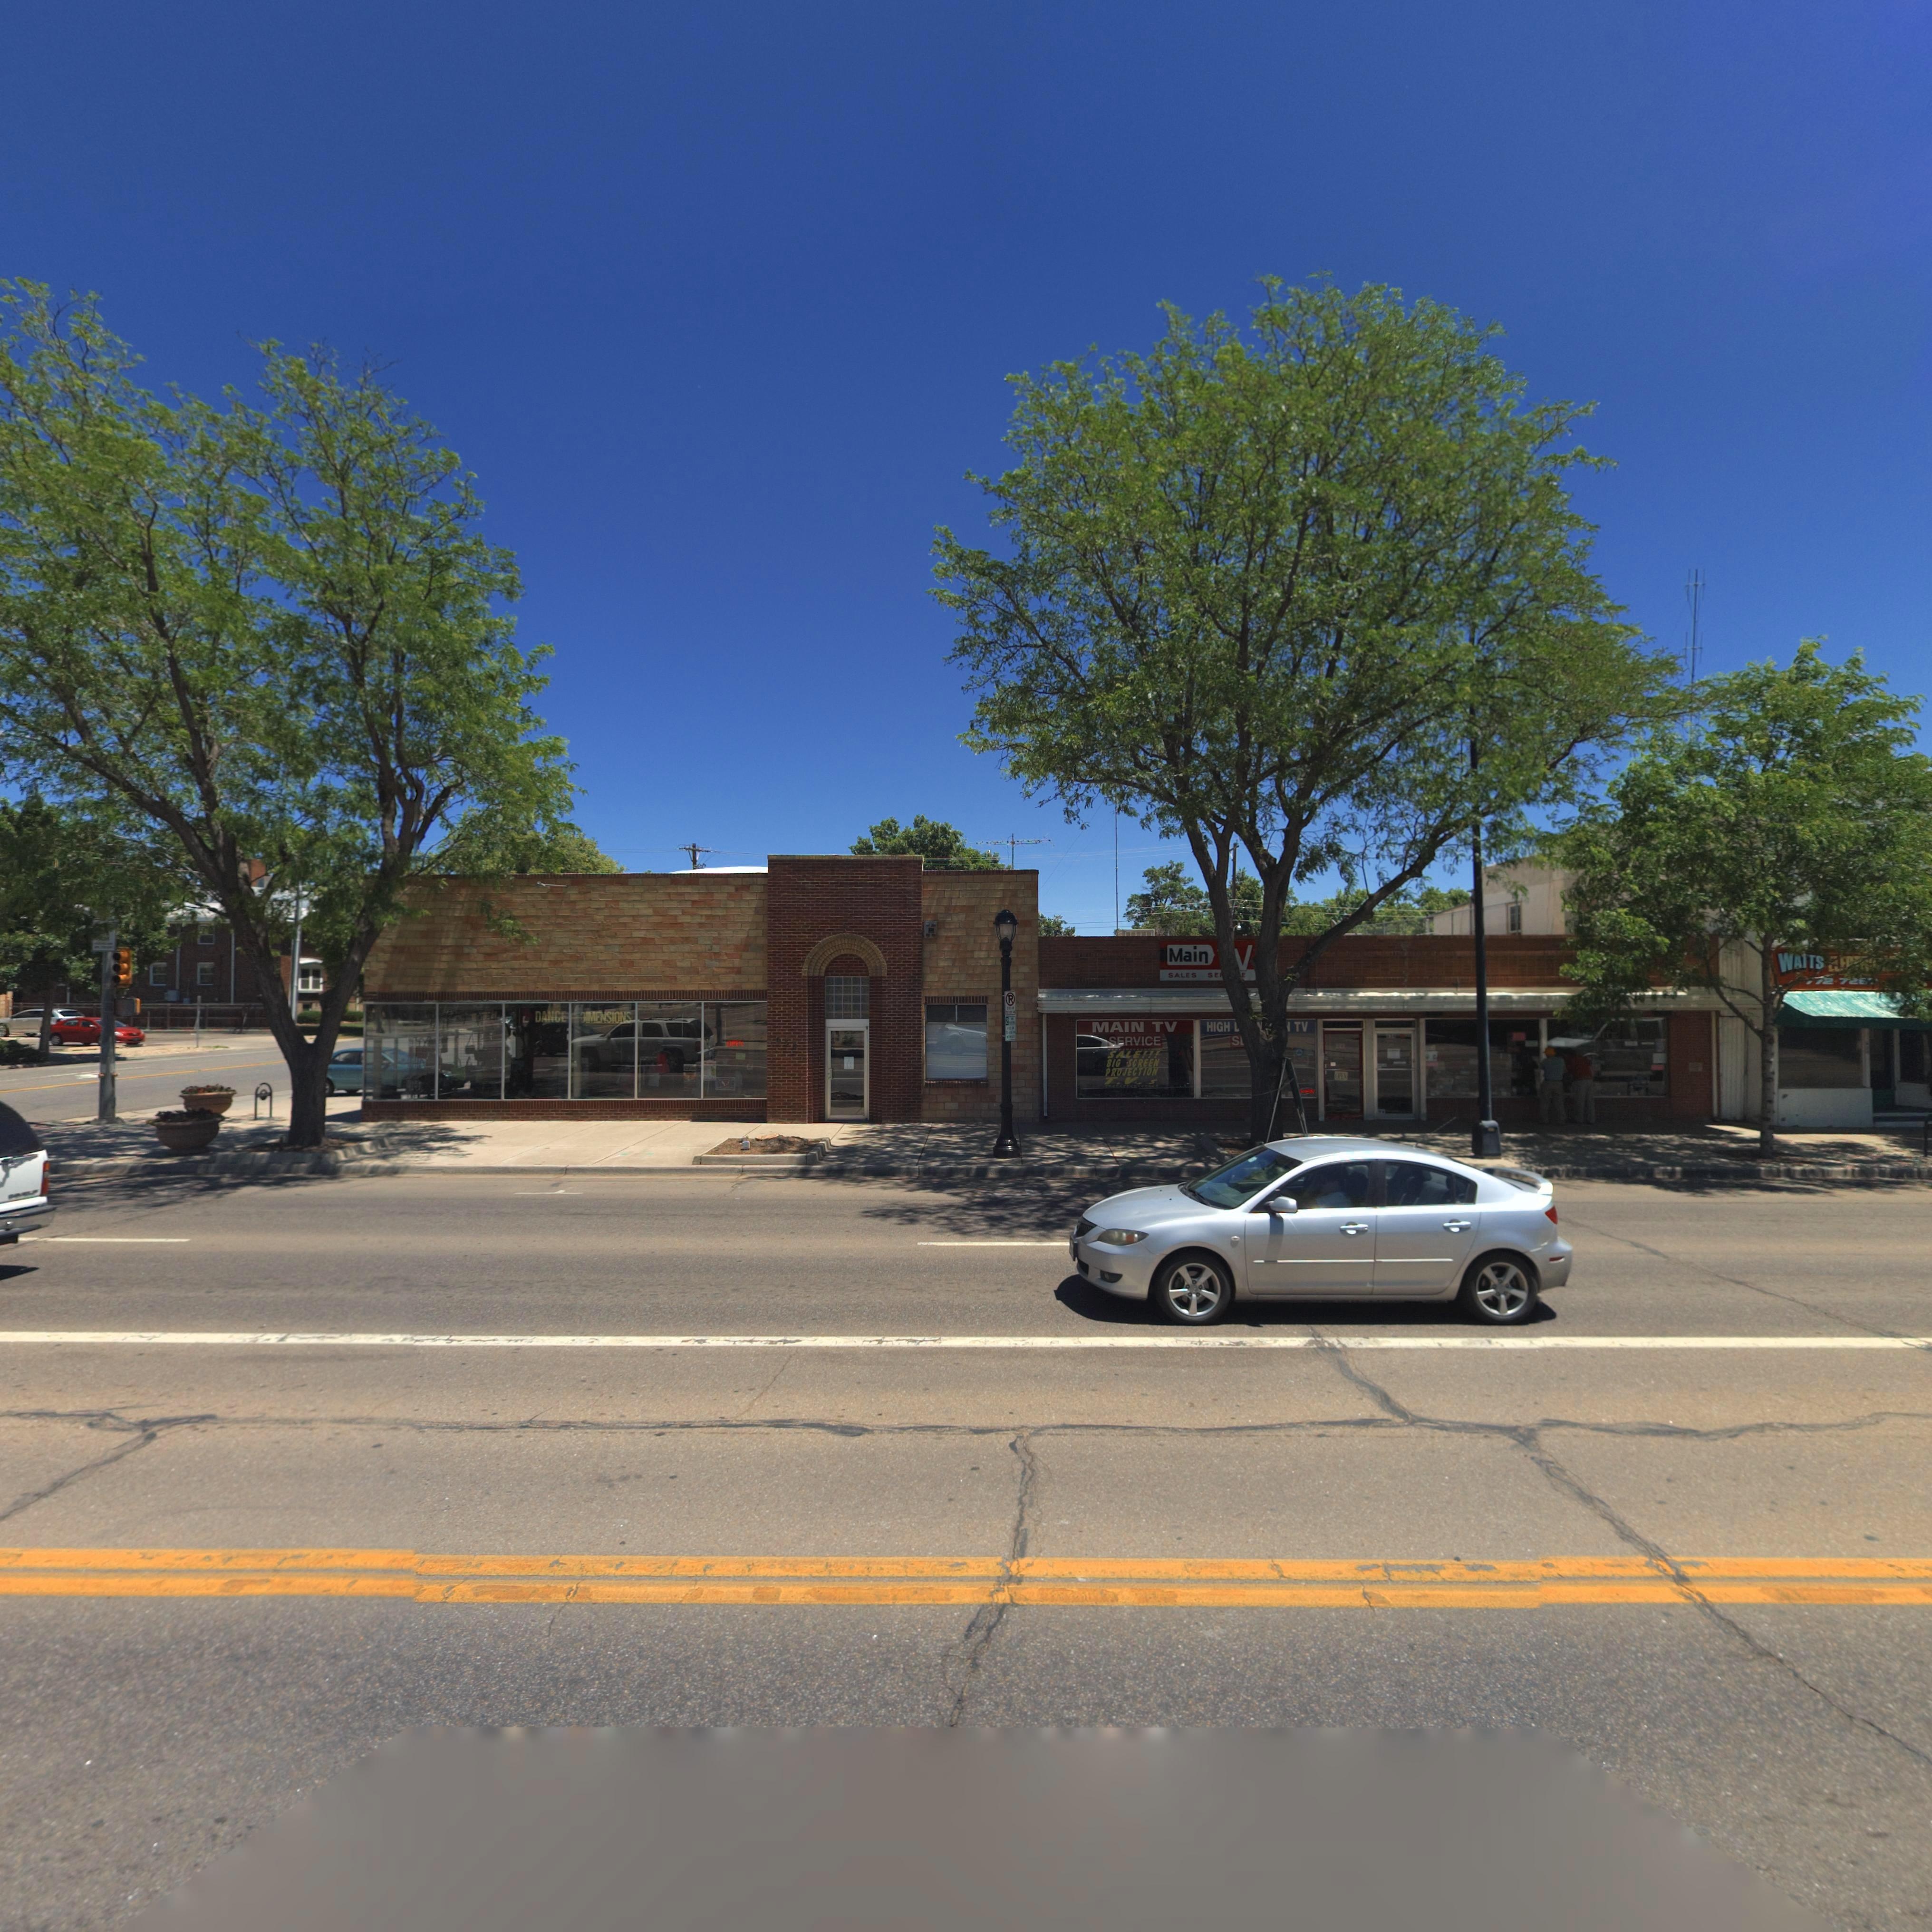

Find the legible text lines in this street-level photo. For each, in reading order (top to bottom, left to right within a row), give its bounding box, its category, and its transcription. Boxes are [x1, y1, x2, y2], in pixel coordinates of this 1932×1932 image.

[1169, 944, 1253, 971] BusinessName: Main *v
[1777, 951, 1825, 972] BusinessName: WATTS
[1828, 955, 1897, 972] BusinessName: ELEC*A***
[535, 1010, 566, 1023] BusinessName: DANCE
[580, 1011, 632, 1023] BusinessName: DIMENSIONS
[1092, 1021, 1178, 1033] BusinessName: MAIN TV
[1386, 1034, 1395, 1038] StreetNumber: 634